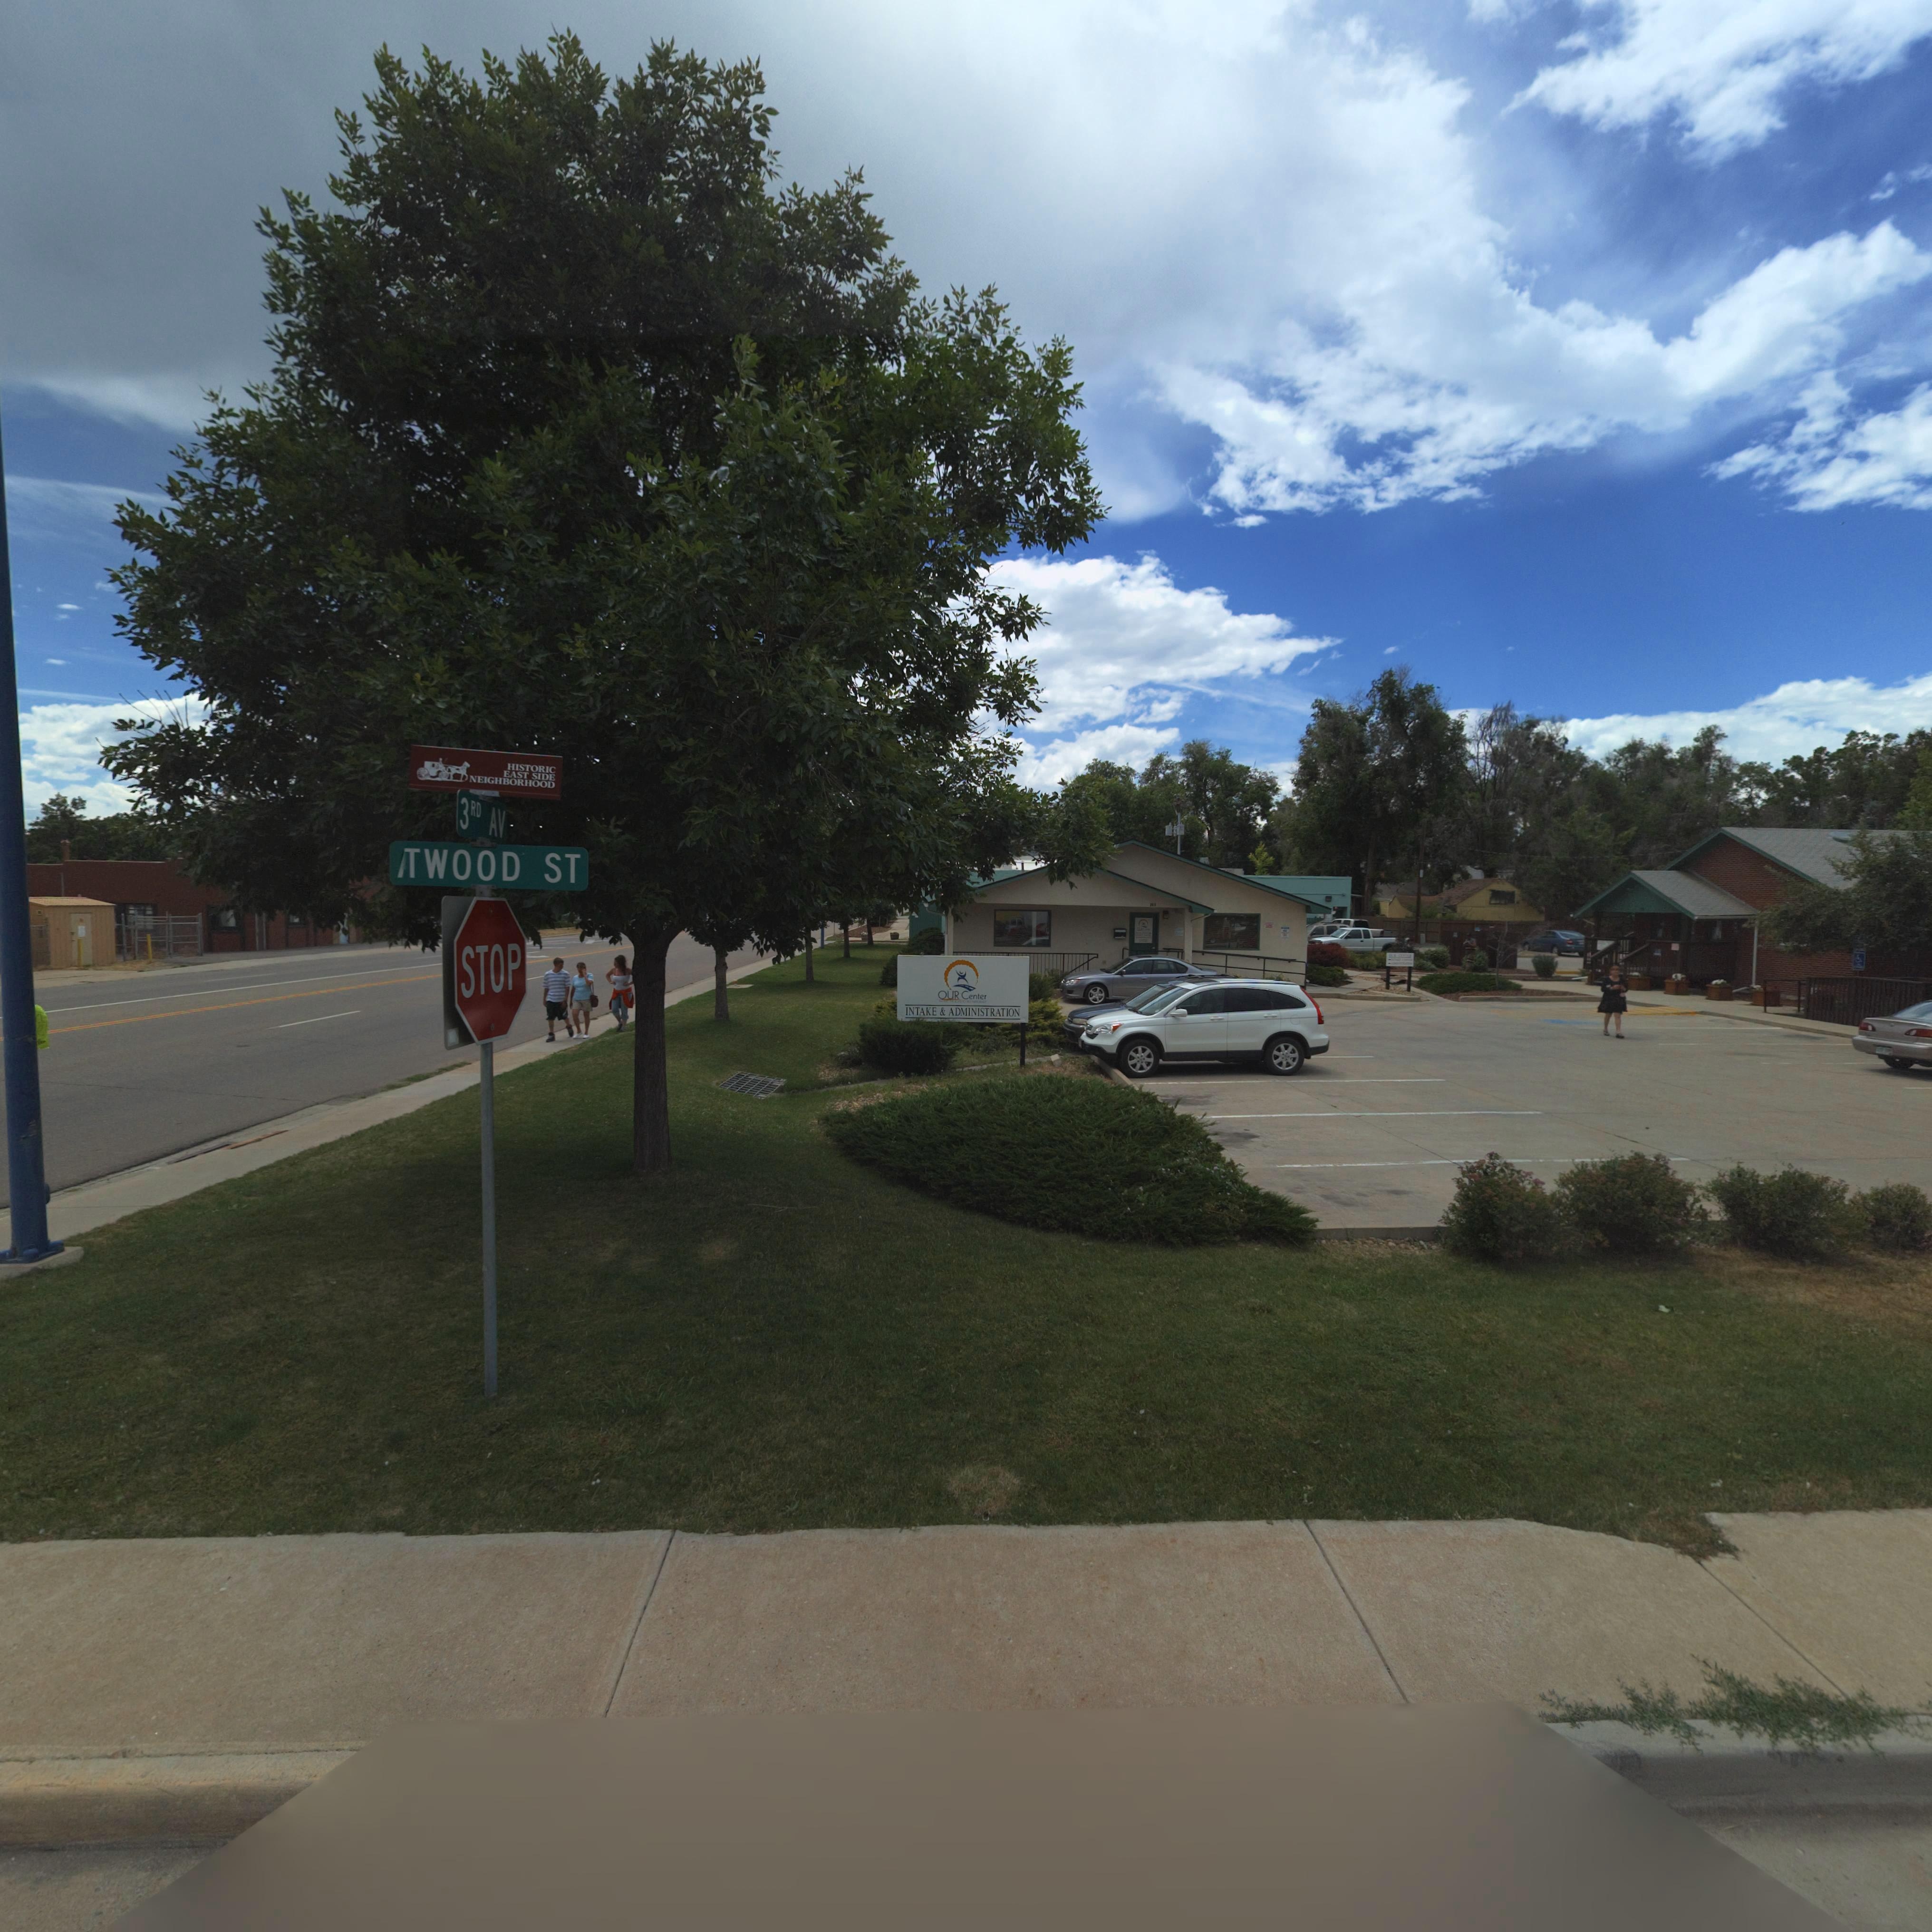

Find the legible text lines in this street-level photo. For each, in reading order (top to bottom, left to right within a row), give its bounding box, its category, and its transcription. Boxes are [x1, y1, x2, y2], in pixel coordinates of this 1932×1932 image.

[459, 796, 506, 839] StreetName: 3RD AV
[396, 847, 582, 884] StreetName: *TWOOD ST
[937, 990, 987, 999] BusinessName: OUR Center